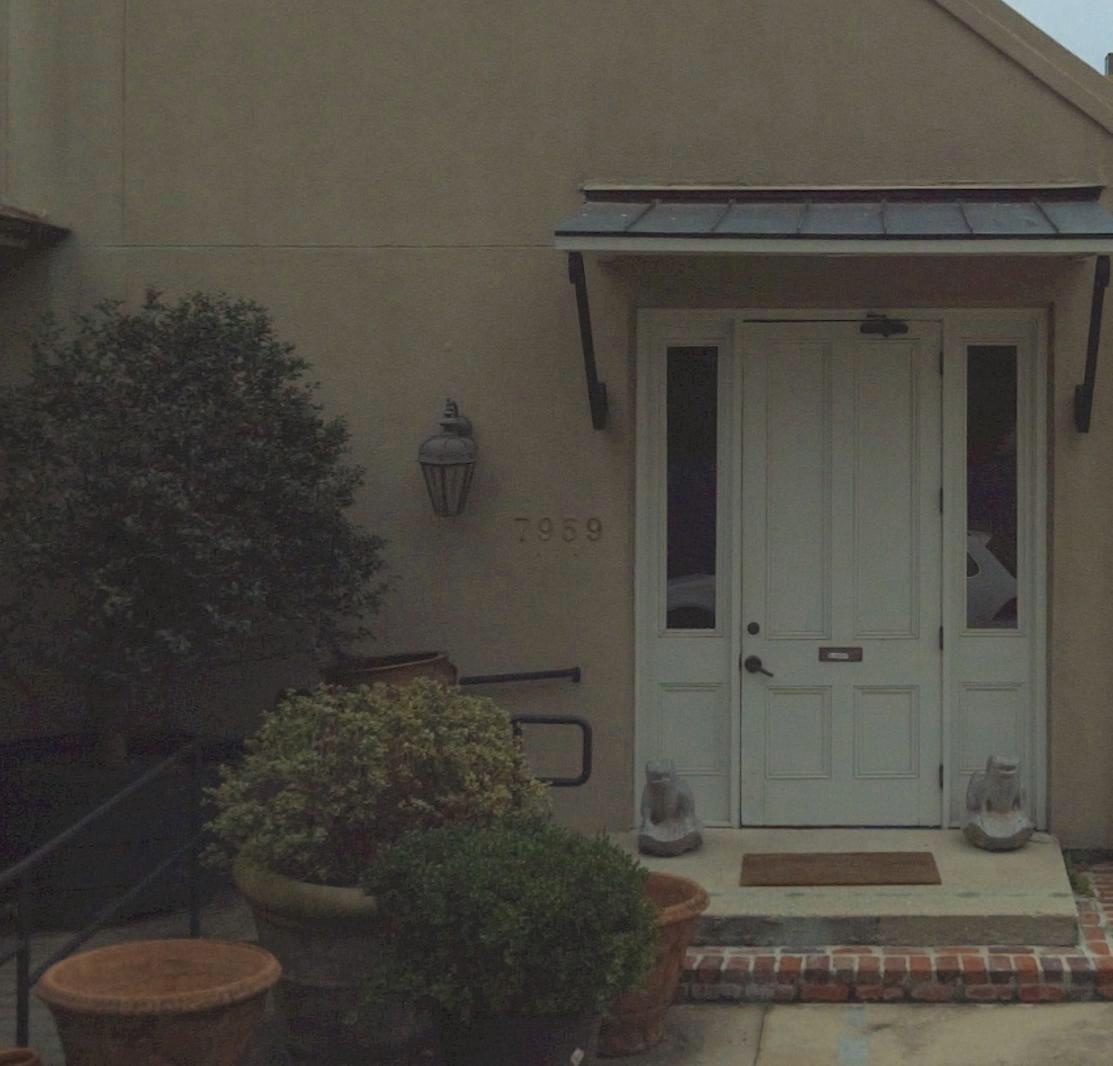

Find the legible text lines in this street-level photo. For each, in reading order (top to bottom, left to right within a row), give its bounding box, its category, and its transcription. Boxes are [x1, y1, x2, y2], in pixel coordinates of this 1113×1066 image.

[512, 515, 603, 544] StreetNumber: 7959